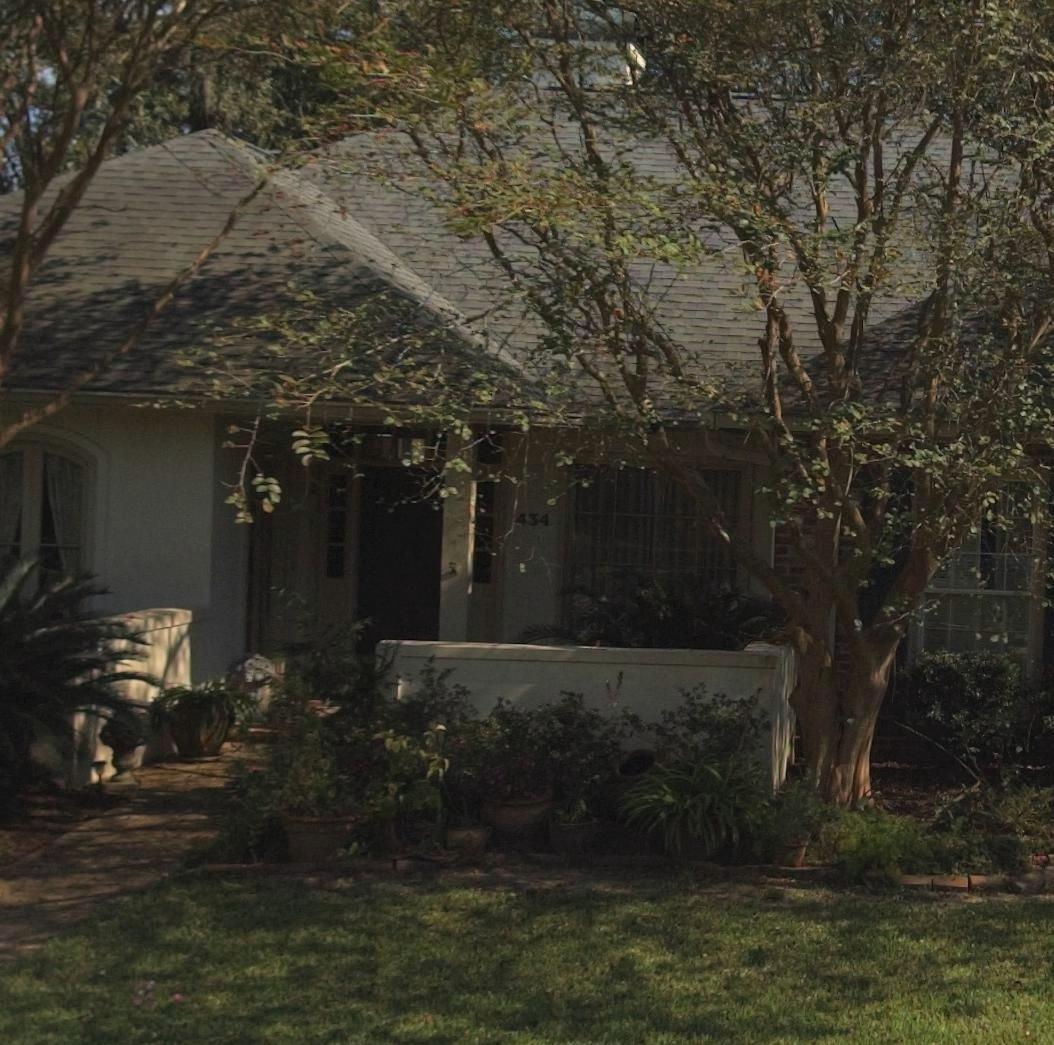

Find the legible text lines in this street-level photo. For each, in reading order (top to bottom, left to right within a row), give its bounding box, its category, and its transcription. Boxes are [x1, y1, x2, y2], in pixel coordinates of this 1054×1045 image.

[515, 512, 550, 527] StreetNumber: 434